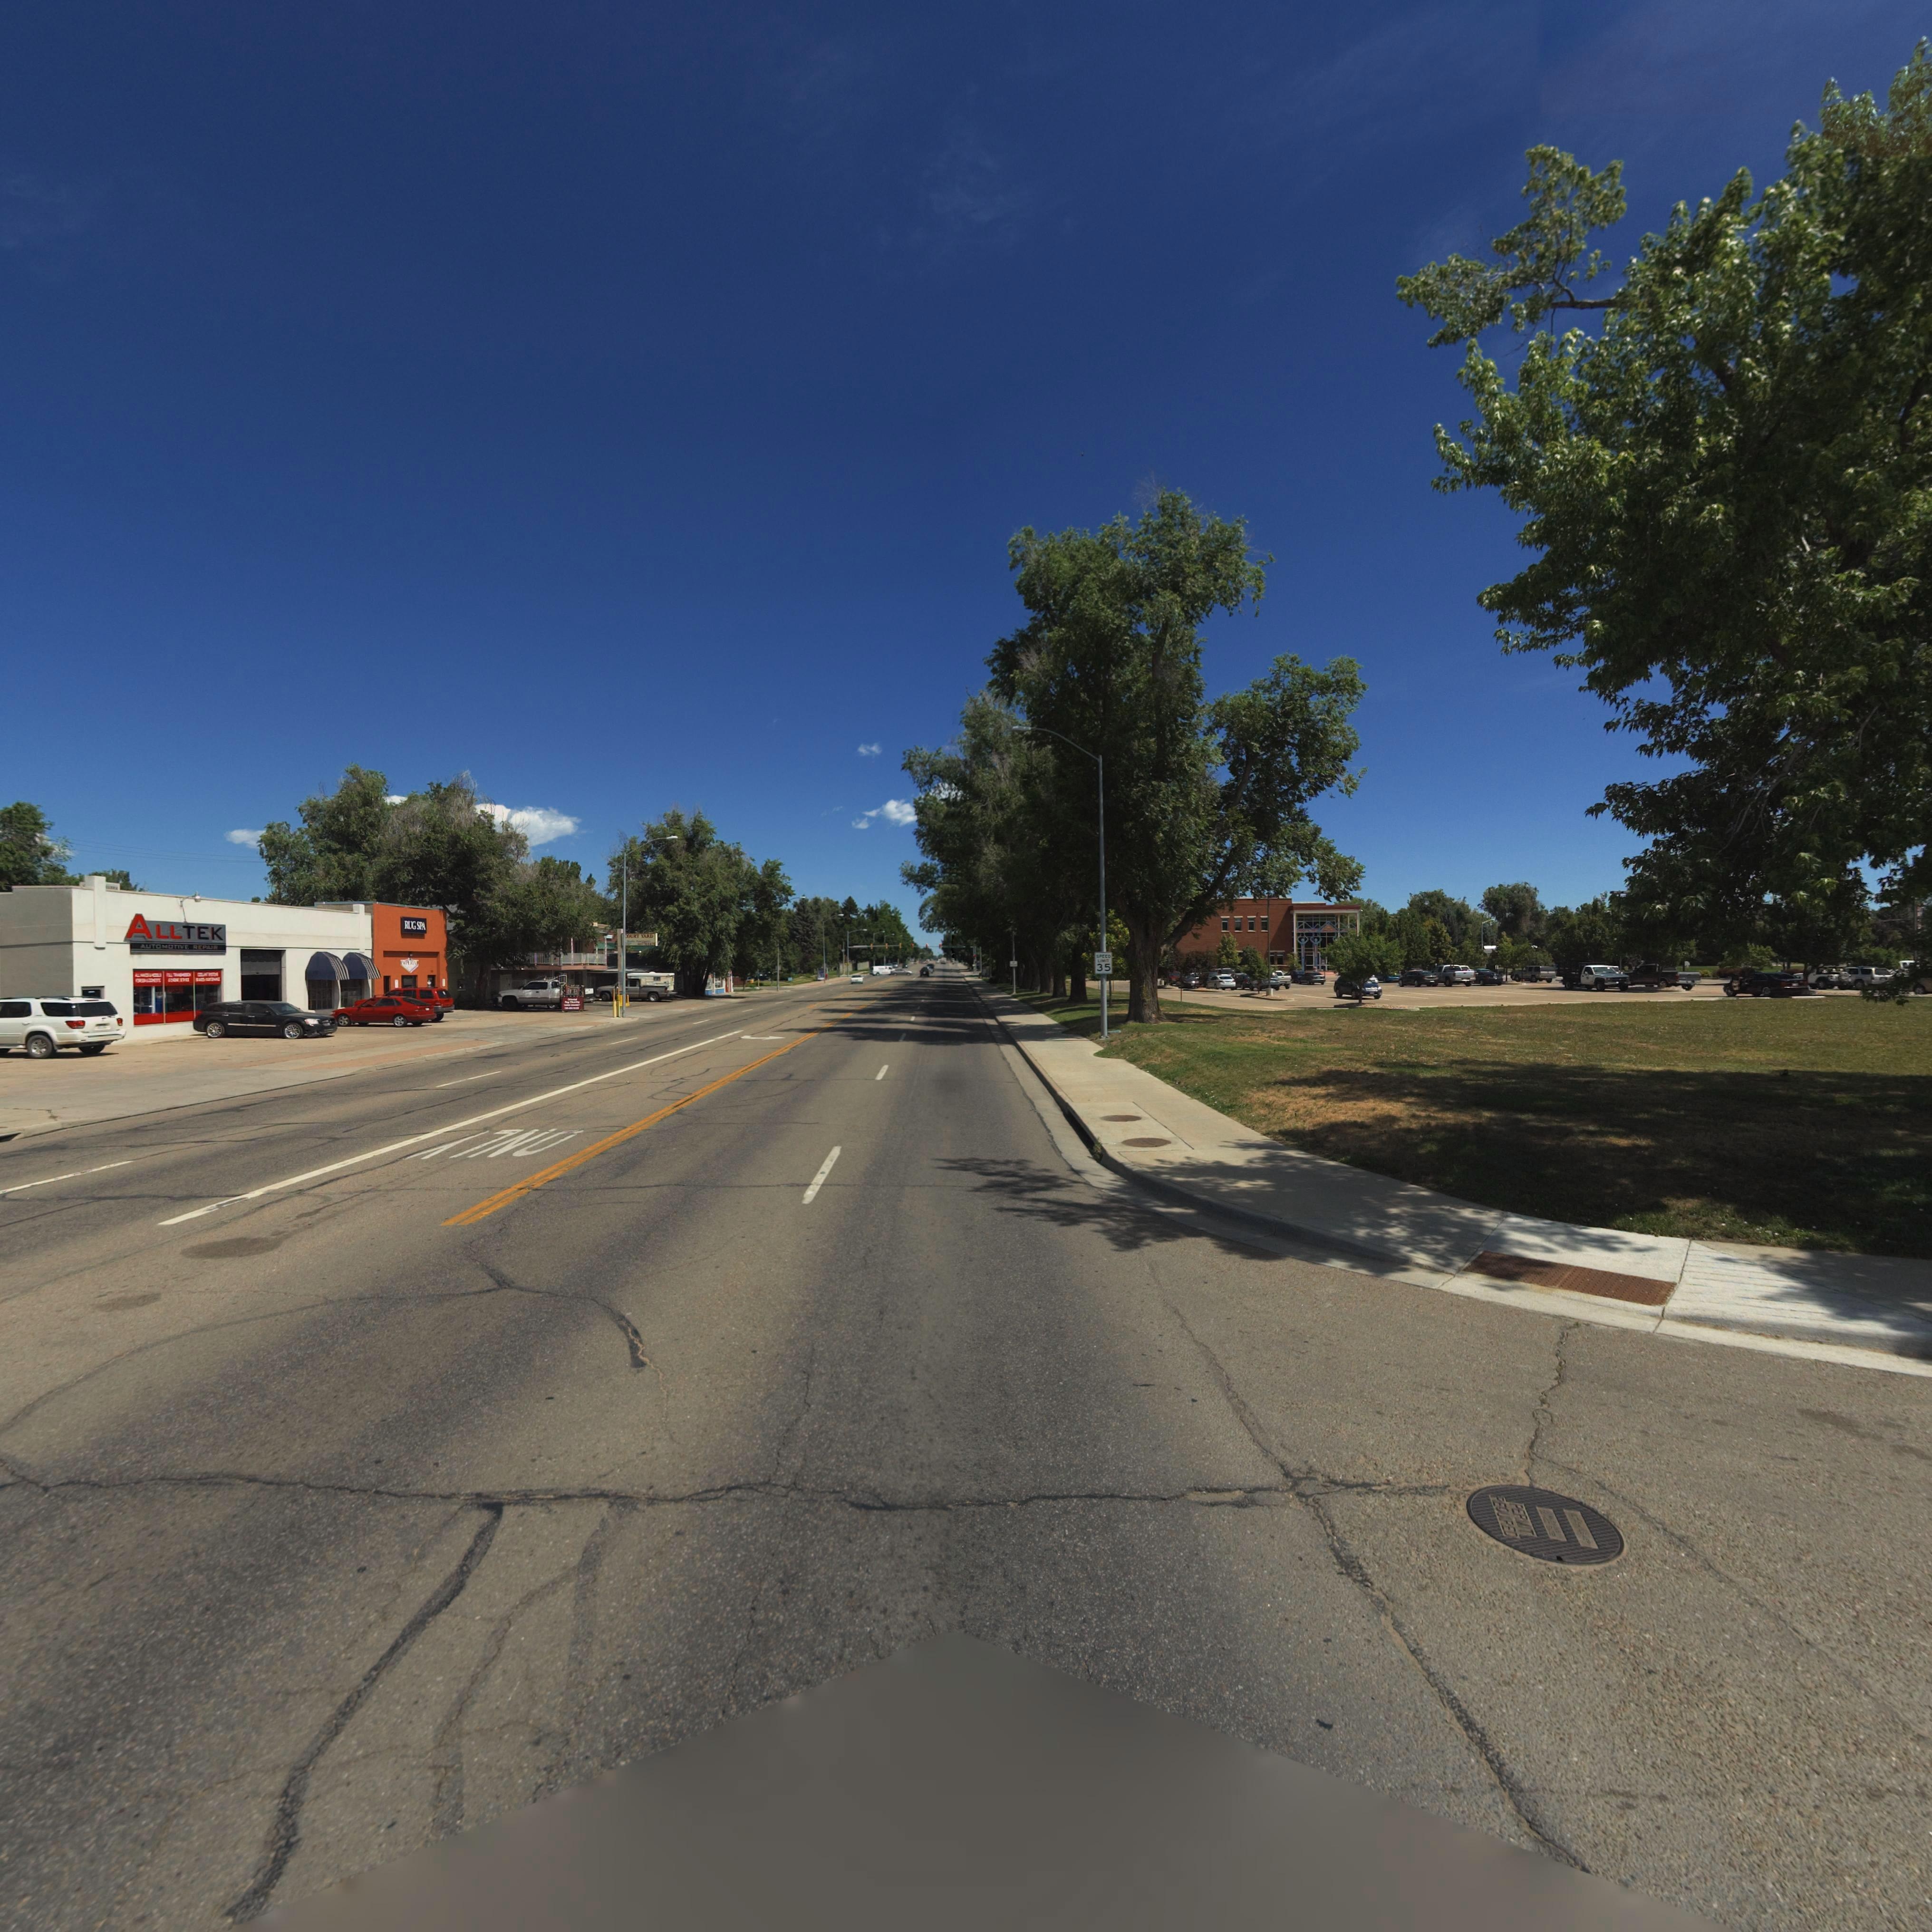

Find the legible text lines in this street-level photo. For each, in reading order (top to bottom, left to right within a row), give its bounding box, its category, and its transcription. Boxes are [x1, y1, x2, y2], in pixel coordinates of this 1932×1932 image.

[404, 920, 426, 930] BusinessName: RUG SPA
[627, 934, 653, 938] BusinessName: OURT YARD